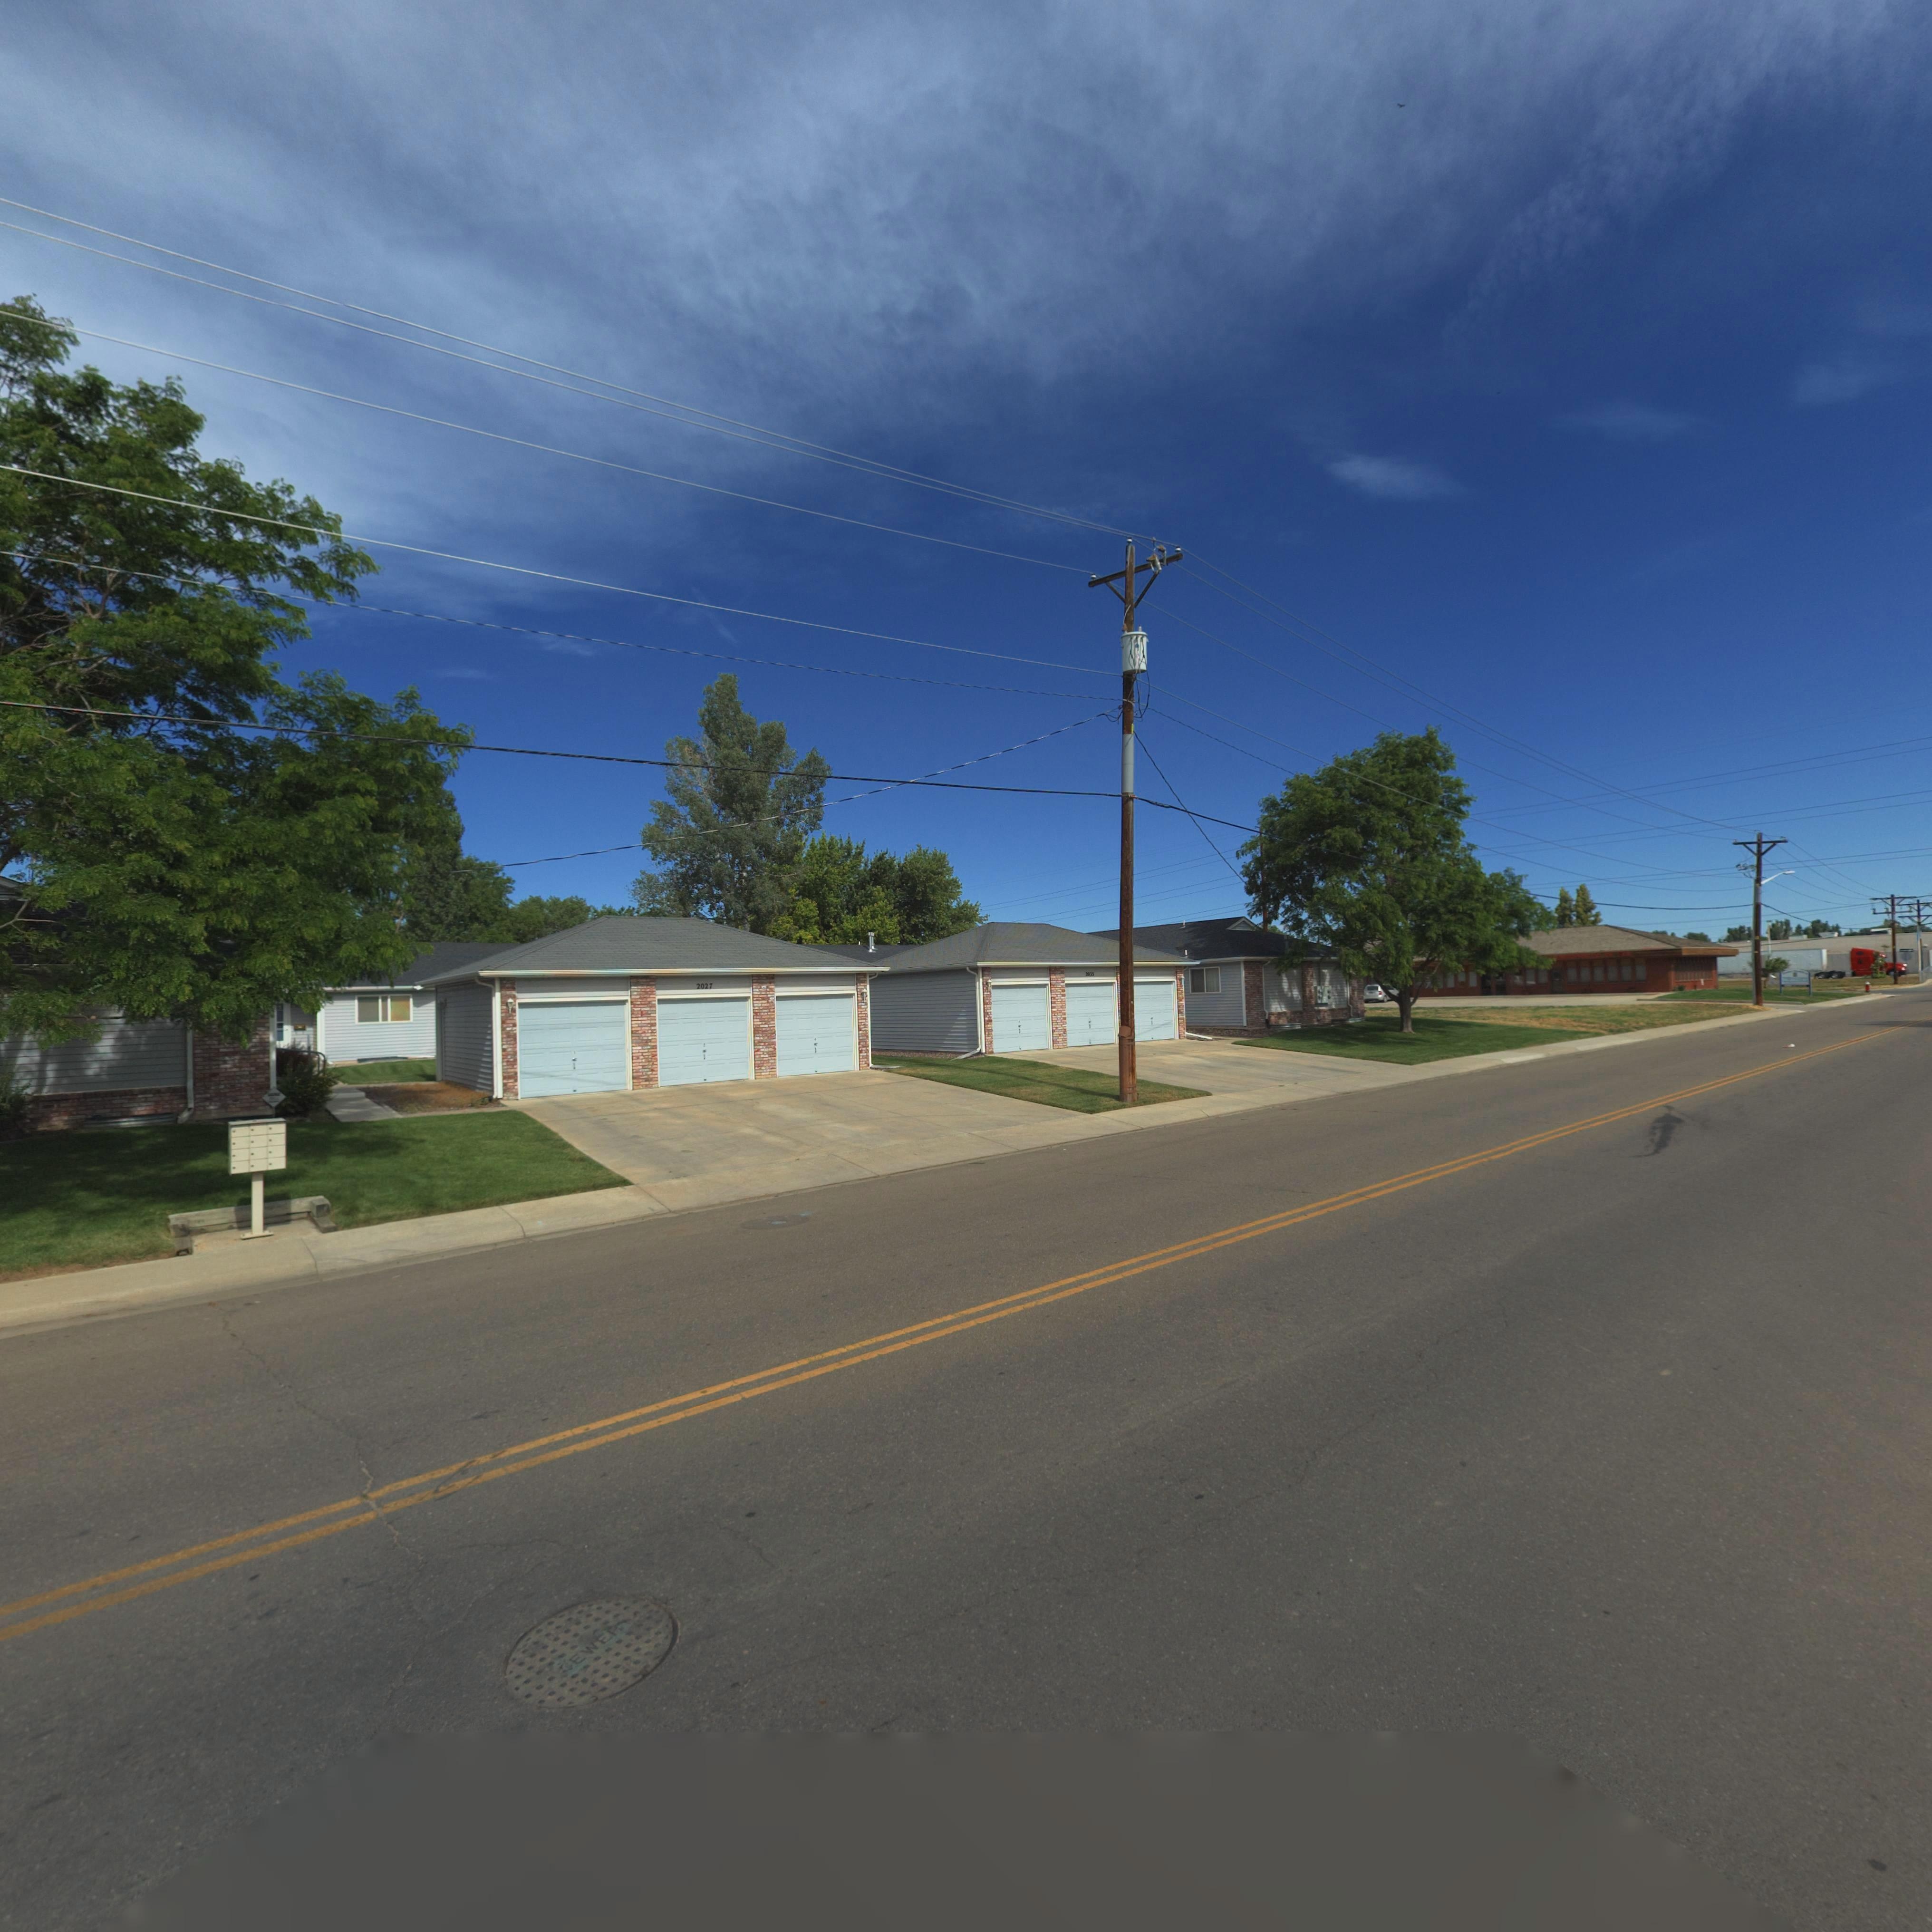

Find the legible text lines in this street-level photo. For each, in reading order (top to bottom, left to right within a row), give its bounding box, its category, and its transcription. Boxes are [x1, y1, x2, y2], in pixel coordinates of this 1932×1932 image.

[1085, 971, 1094, 976] StreetNumber: 20*5
[696, 983, 713, 989] StreetNumber: 2027